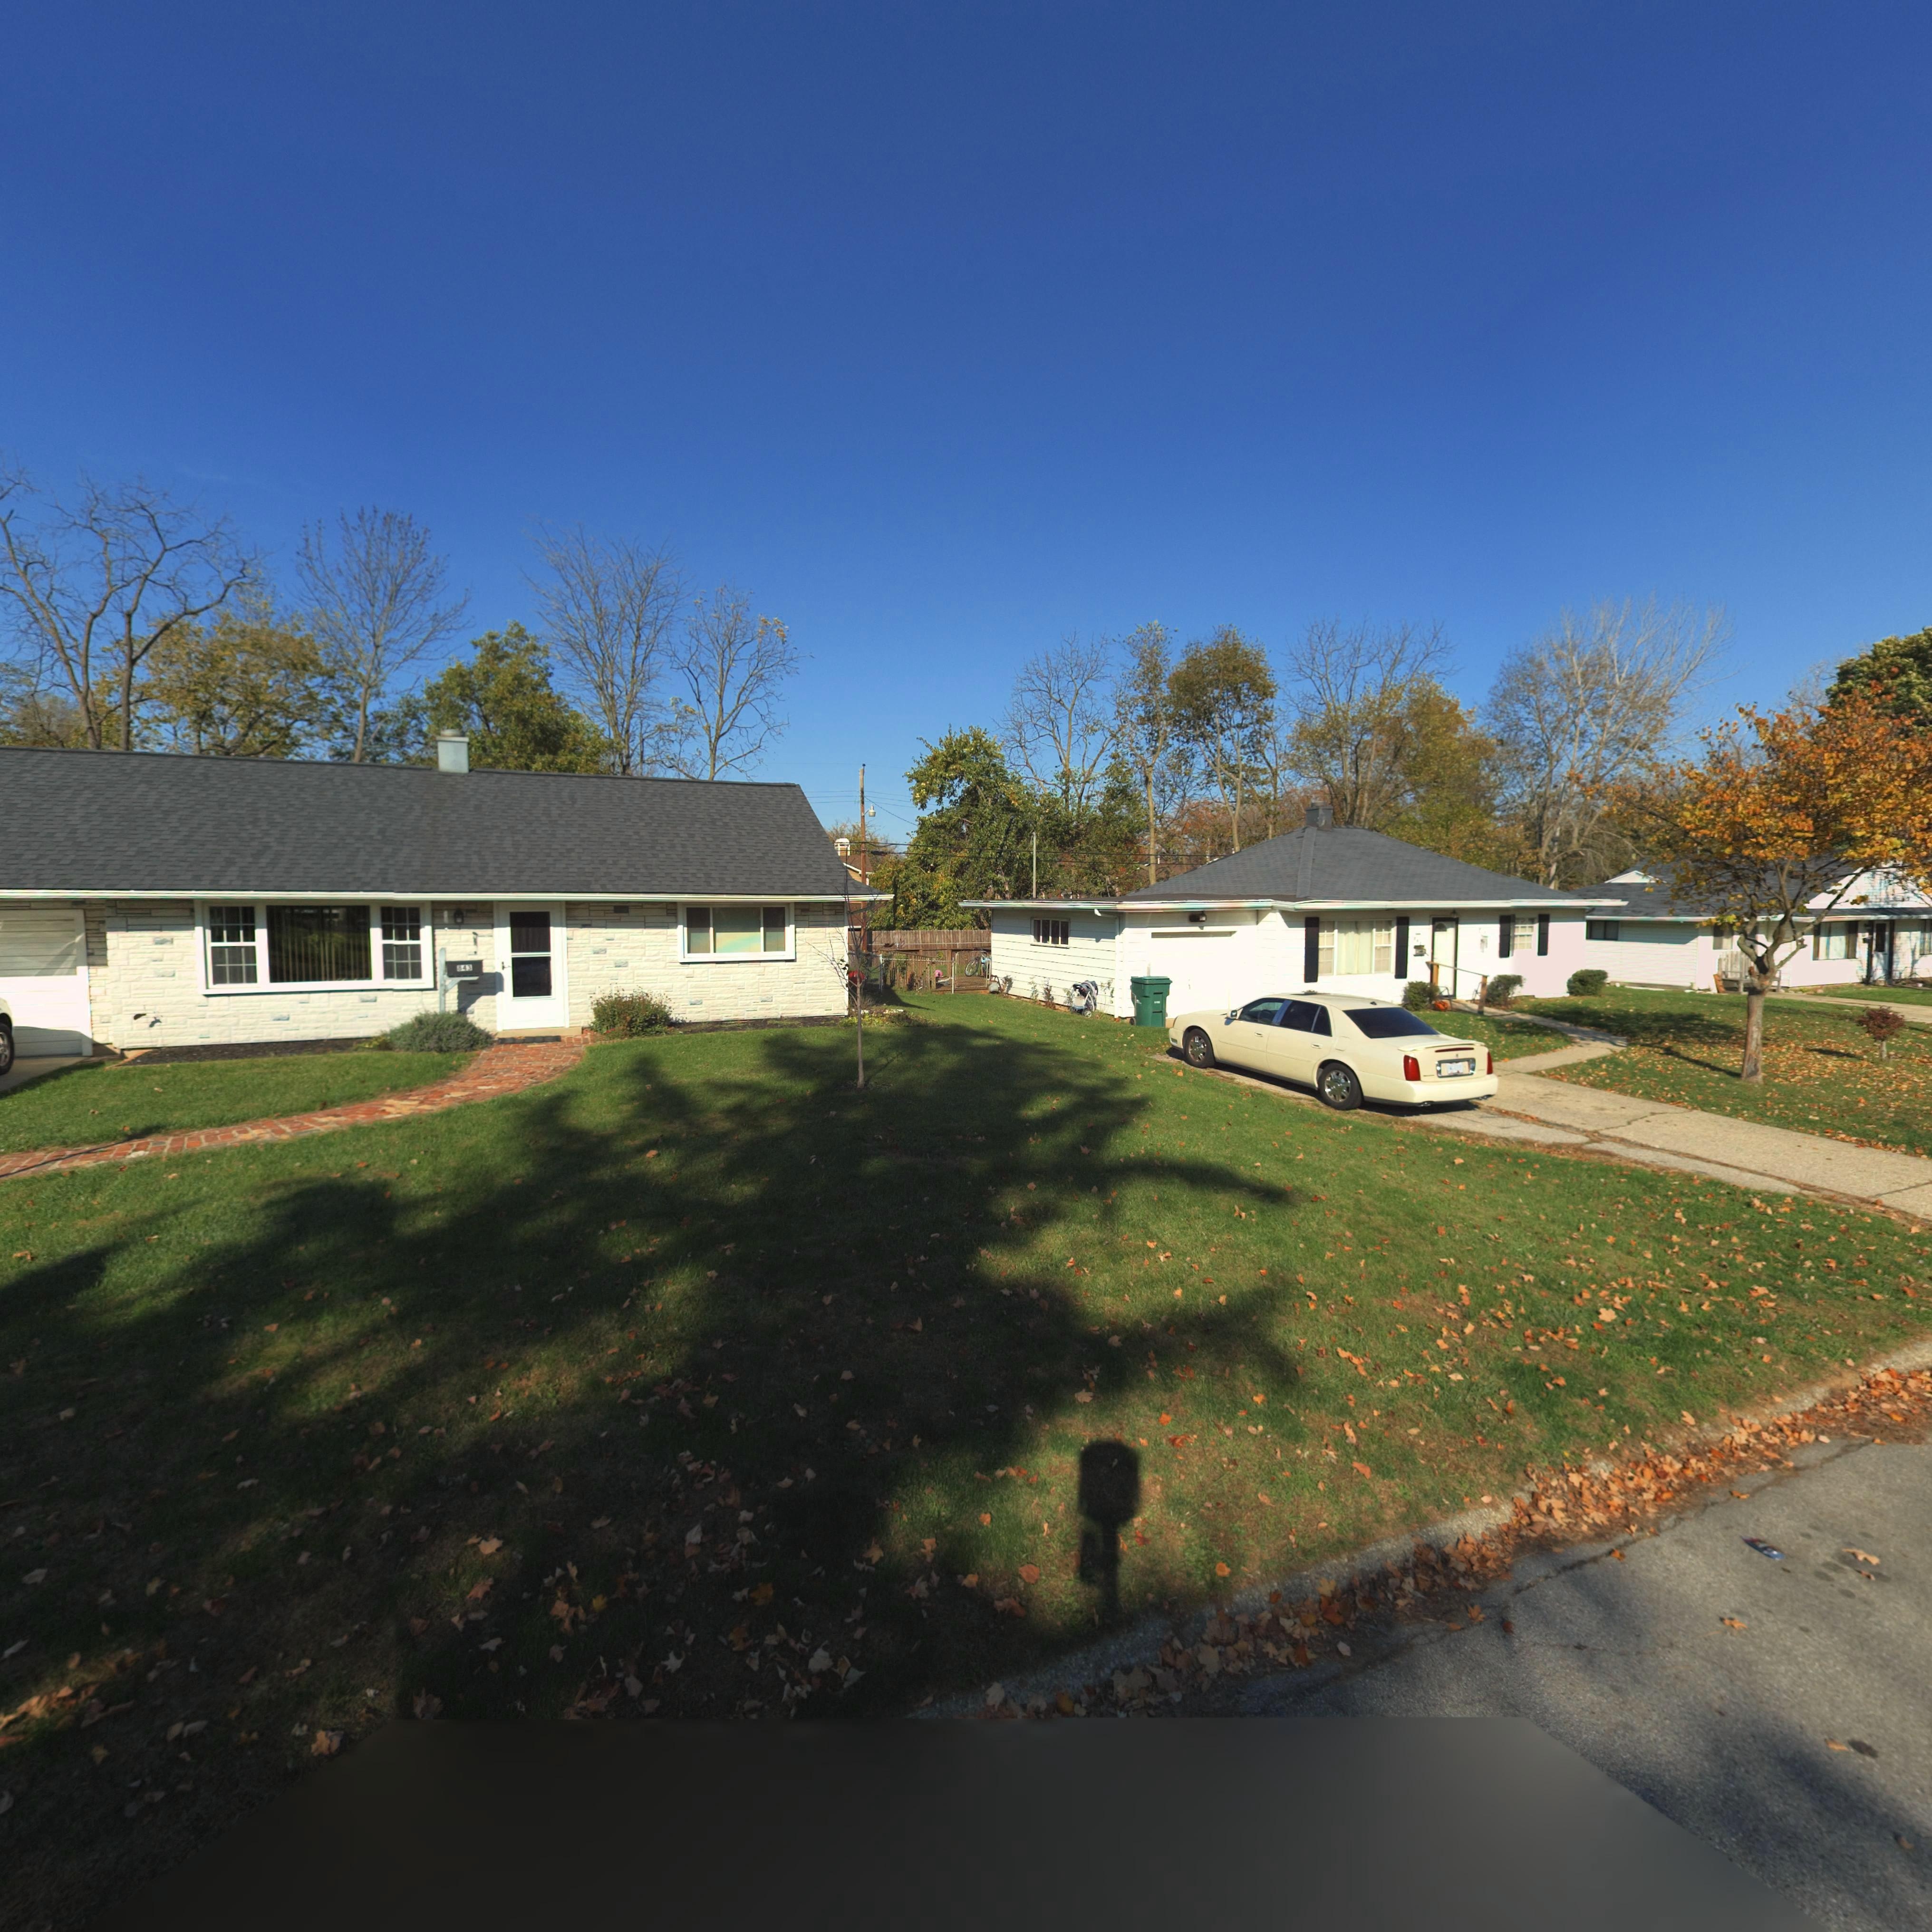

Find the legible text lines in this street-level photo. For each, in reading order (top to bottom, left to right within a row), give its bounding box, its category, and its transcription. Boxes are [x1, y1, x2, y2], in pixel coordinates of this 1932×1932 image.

[457, 965, 471, 970] StreetNumber: 843